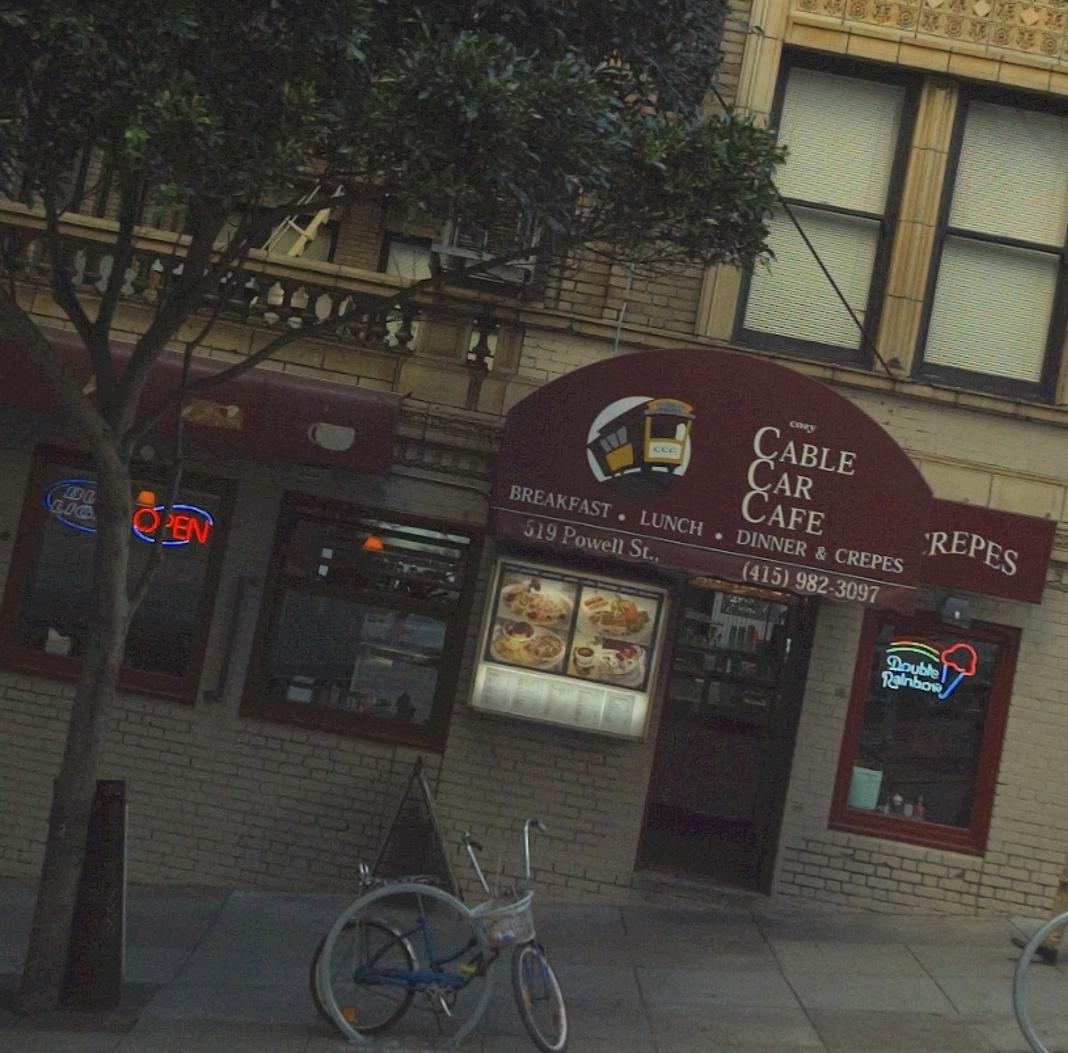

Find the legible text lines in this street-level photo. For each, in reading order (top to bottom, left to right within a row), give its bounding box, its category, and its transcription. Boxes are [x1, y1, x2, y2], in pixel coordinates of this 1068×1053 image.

[752, 422, 859, 478] BusinessName: CABLE
[47, 497, 94, 521] None: LIG
[60, 484, 87, 502] None: B
[130, 505, 213, 547] None: O*EN
[520, 517, 560, 543] StreetNumber: 519
[559, 523, 657, 563] StreetName: Powell St.
[505, 481, 906, 577] None: BREAKFAST * LUNCH * DINNER & CREPES
[744, 458, 814, 502] BusinessName: CAR
[738, 489, 827, 538] BusinessName: CAFE
[927, 529, 1022, 580] None: REPES
[740, 558, 884, 606] None: (415) 982-3097
[884, 654, 941, 681] None: Double
[880, 670, 945, 695] None: Rainbows